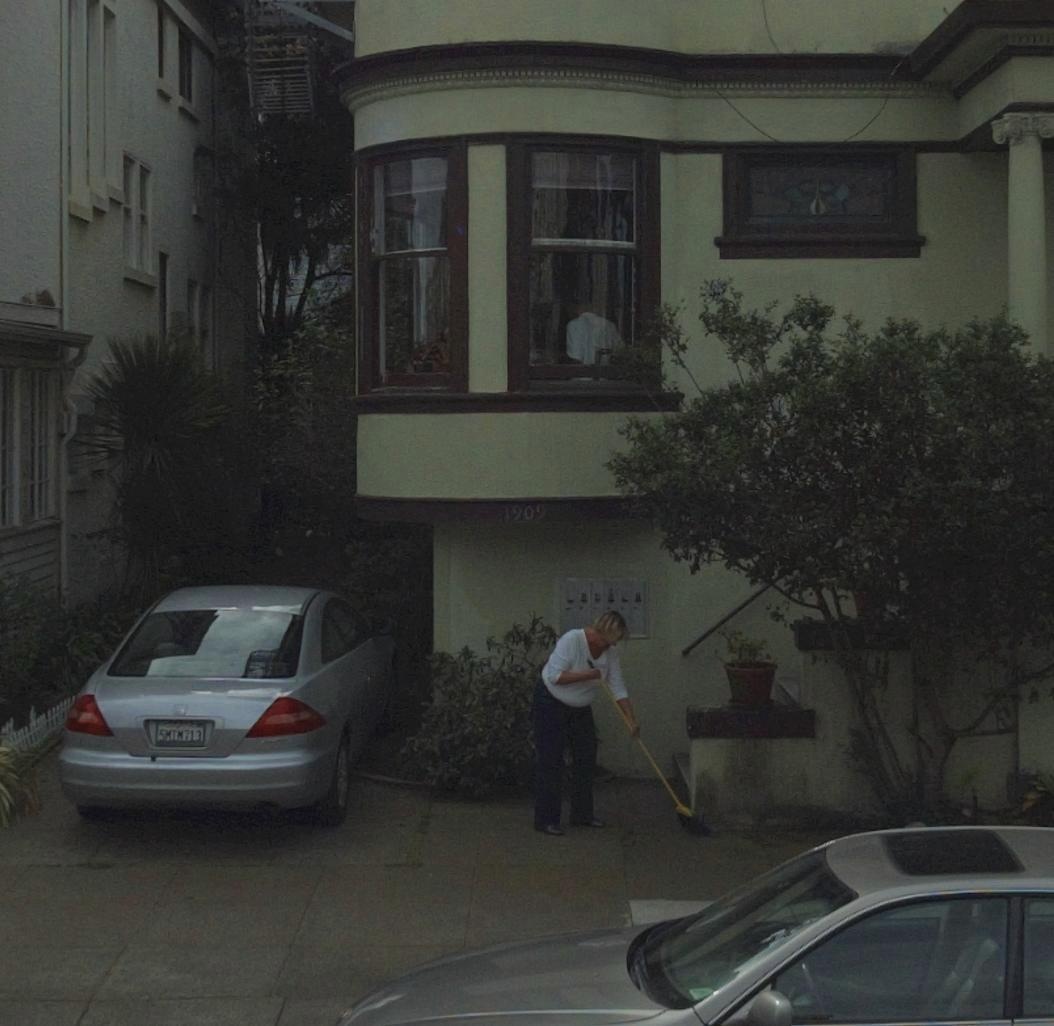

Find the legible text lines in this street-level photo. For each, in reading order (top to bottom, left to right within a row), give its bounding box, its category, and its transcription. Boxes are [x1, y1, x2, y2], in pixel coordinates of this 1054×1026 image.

[504, 503, 548, 521] StreetNumber: 1909
[158, 728, 201, 741] None: 5MT*713